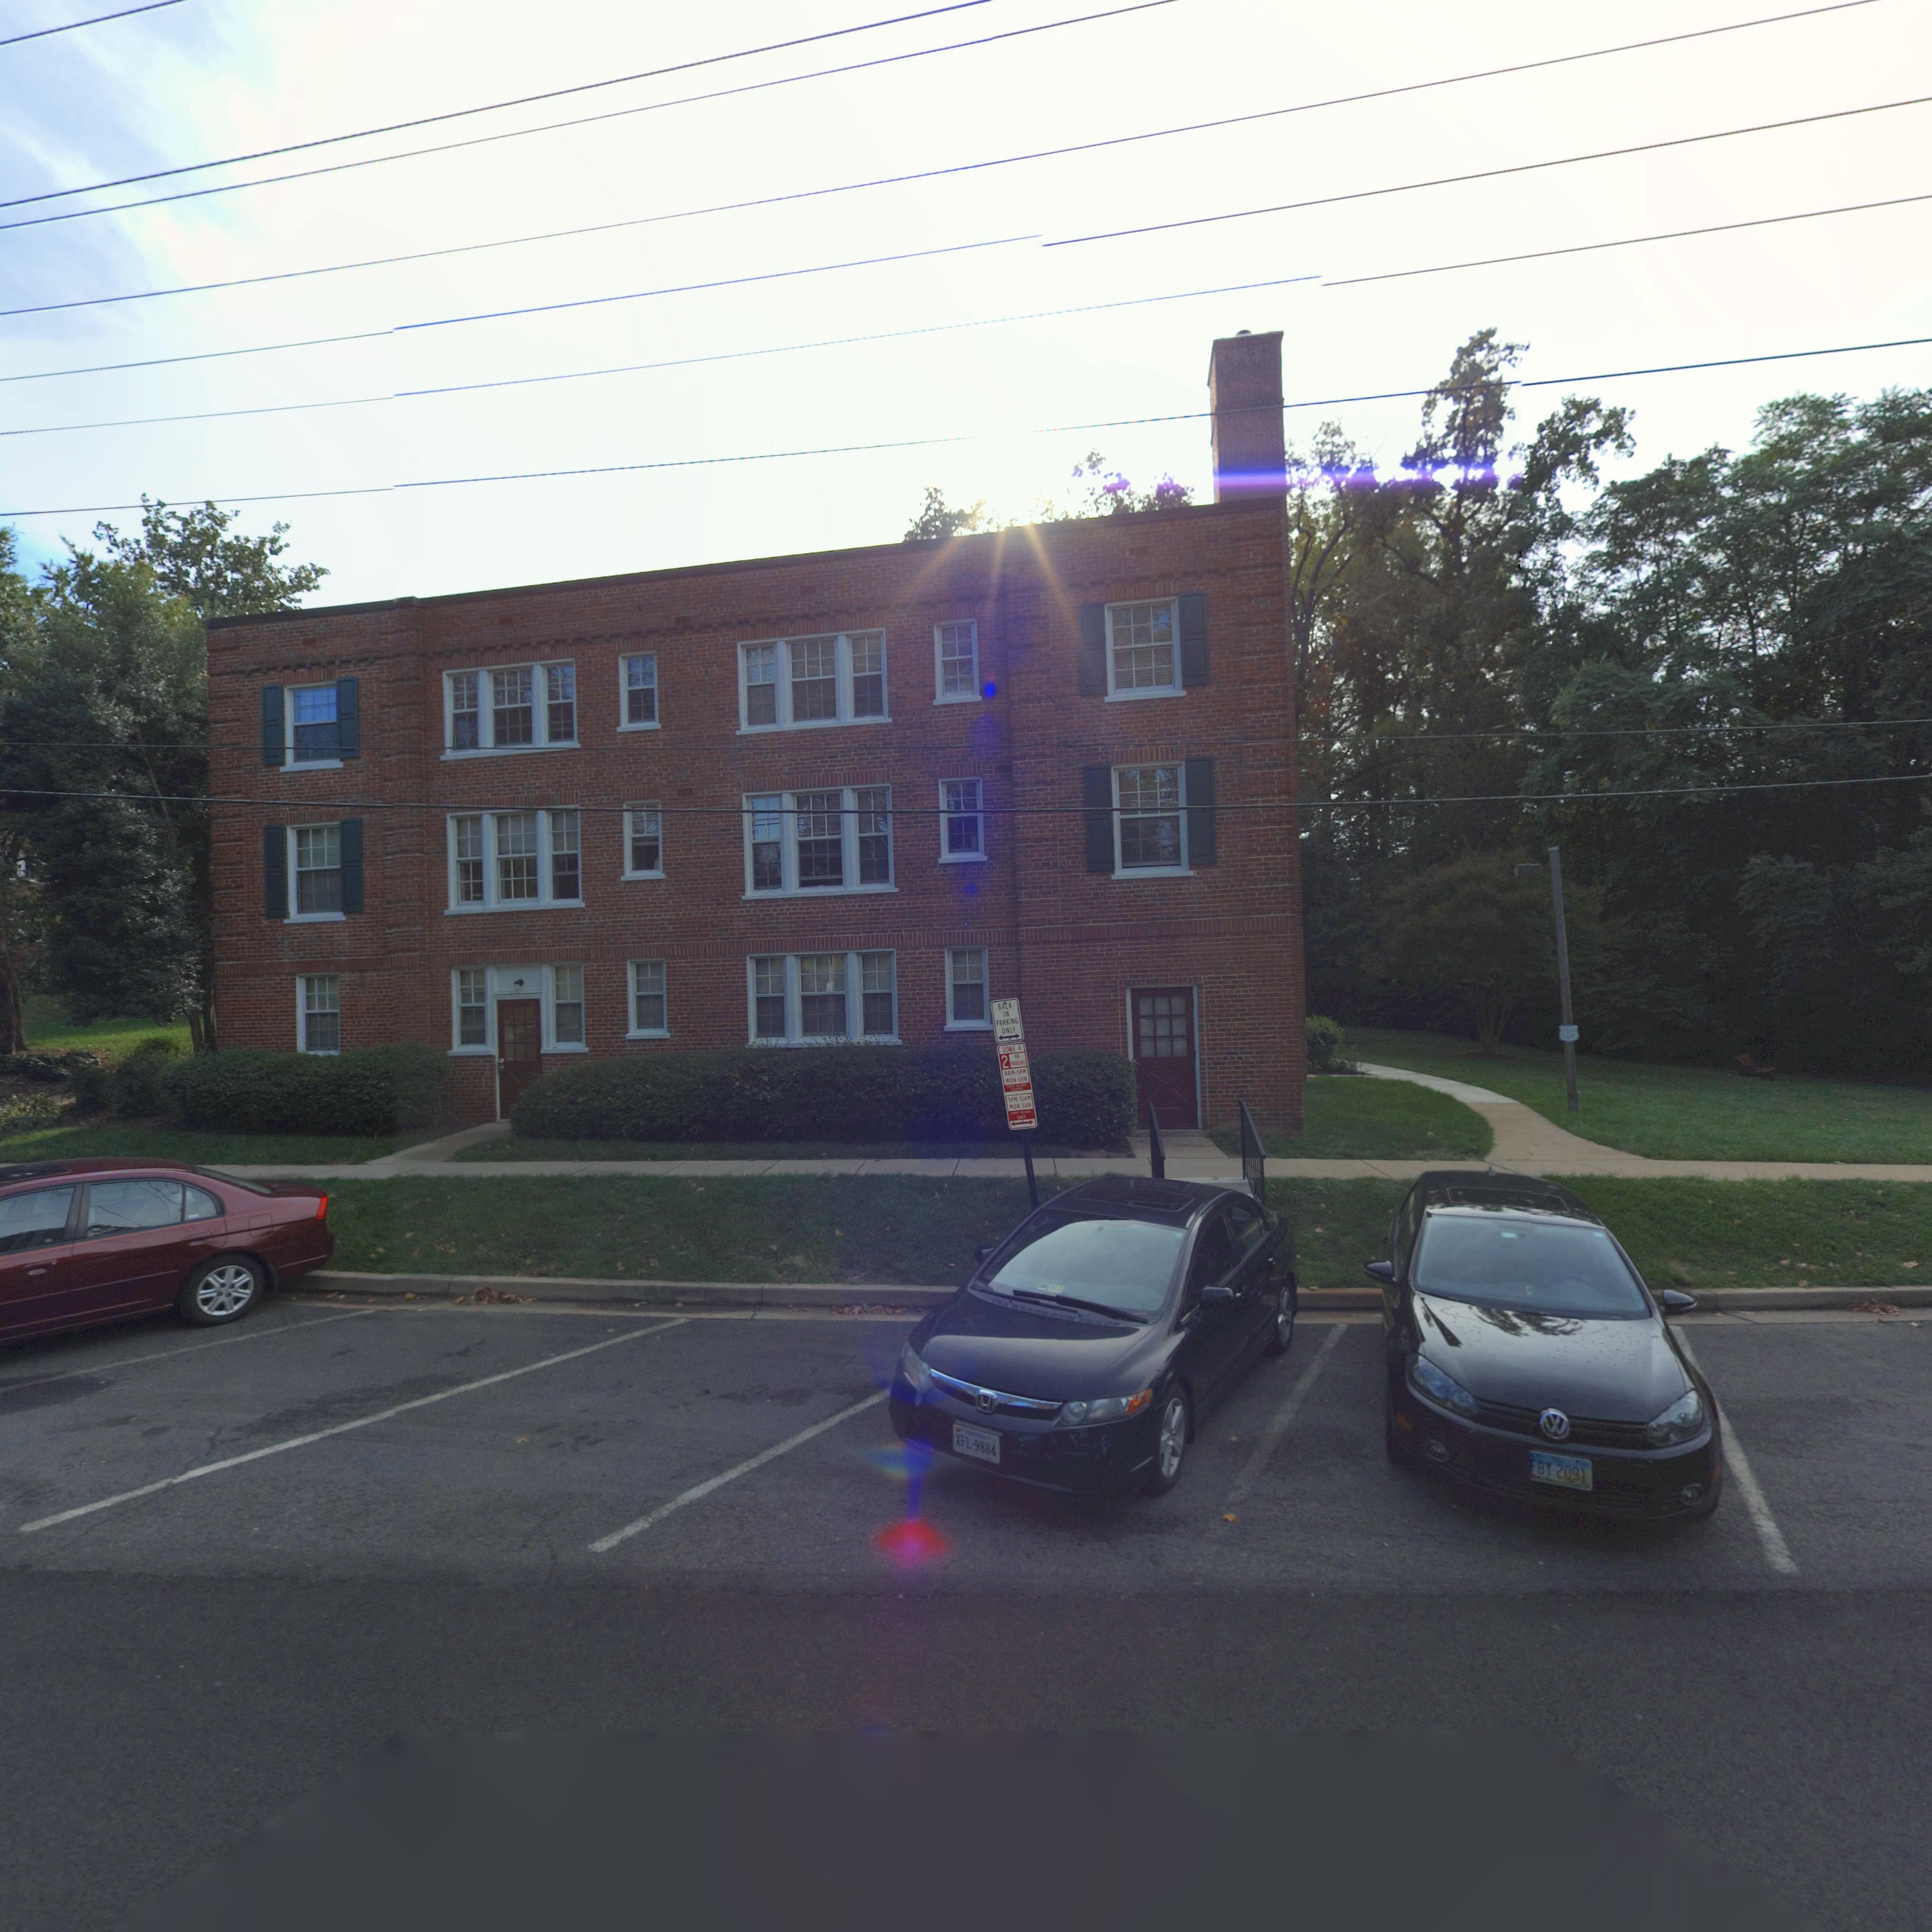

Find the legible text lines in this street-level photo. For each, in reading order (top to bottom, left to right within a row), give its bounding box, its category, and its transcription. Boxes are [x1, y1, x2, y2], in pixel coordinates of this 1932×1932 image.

[997, 1002, 1013, 1011] None: BACK
[1003, 1010, 1010, 1018] None: IN
[996, 1017, 1019, 1027] None: PARKING
[1001, 1025, 1015, 1035] None: ONLY
[1002, 1045, 1022, 1053] None: ZONE 4
[1001, 1054, 1010, 1070] None: 2
[1004, 1068, 1027, 1077] None: 8AM-5PM
[1005, 1076, 1027, 1084] None: MON-SUN
[1007, 1094, 1031, 1103] None: 5PM-12AM
[1009, 1101, 1032, 1110] None: MON-SUN
[955, 1432, 996, 1457] None: XFL*9884
[1530, 1459, 1587, 1484] None: FBY*2071